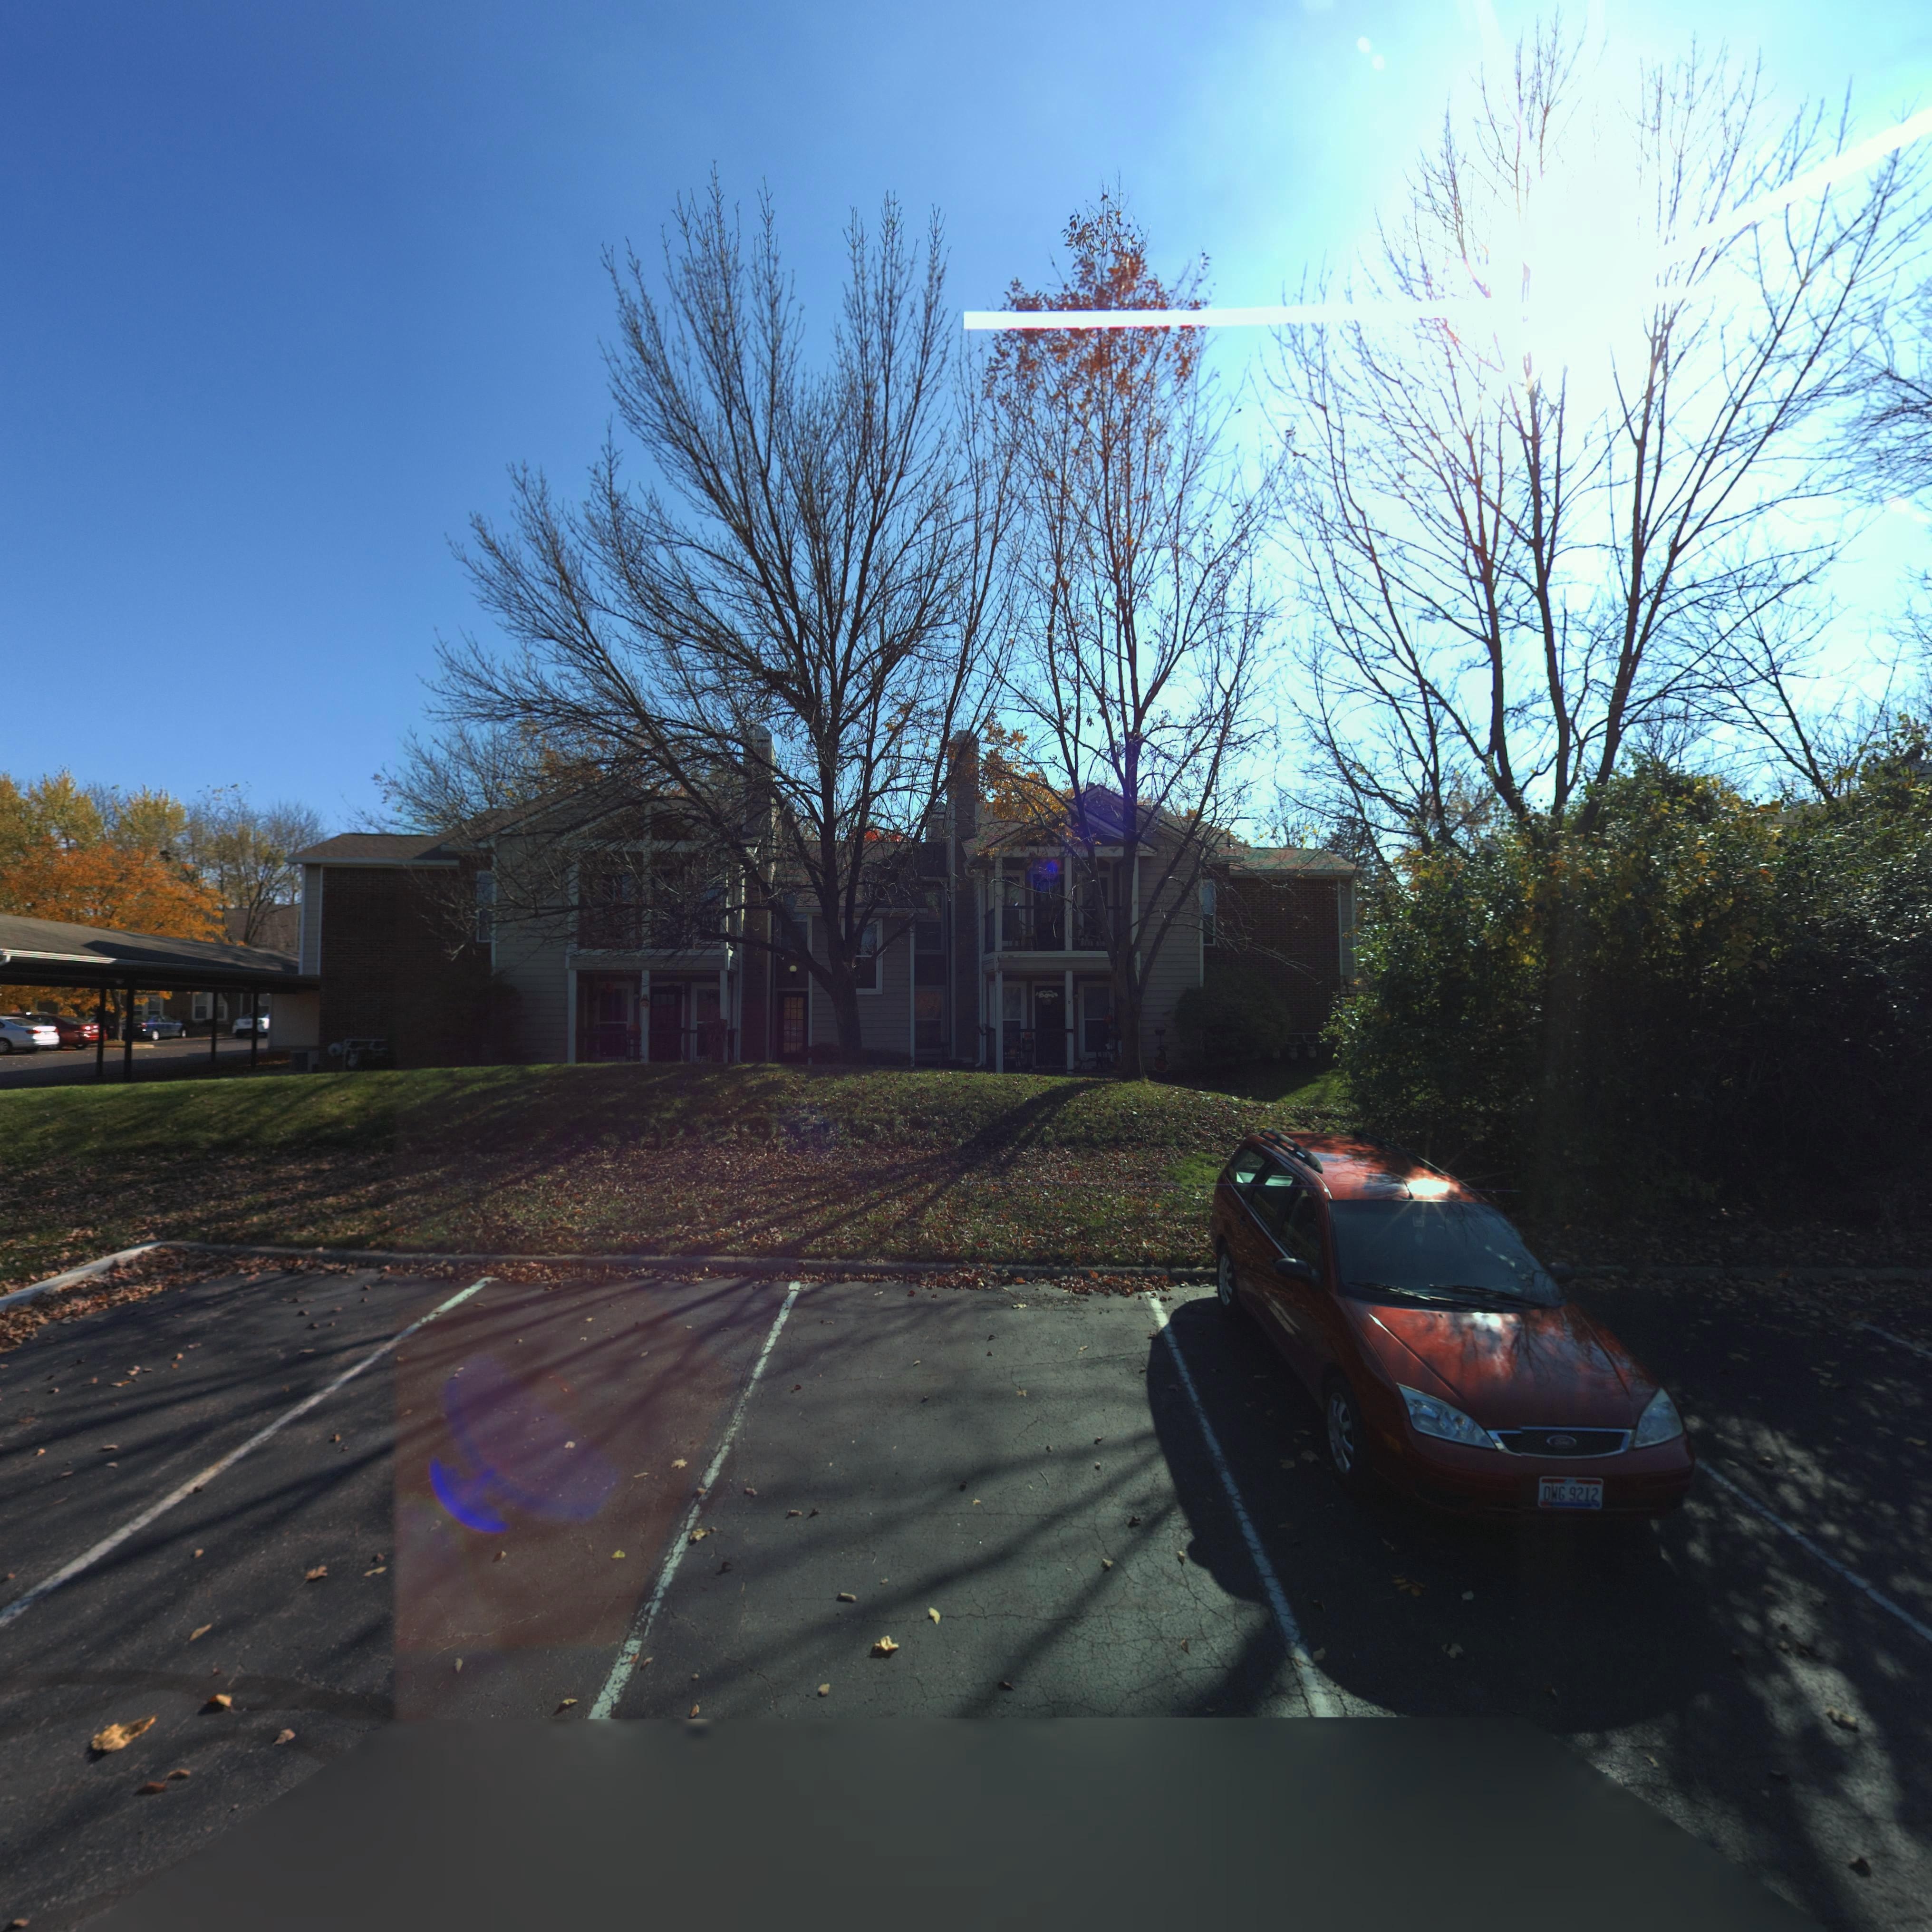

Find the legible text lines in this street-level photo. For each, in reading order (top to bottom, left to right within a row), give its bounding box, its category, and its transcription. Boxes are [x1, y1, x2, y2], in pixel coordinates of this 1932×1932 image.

[1543, 1485, 1600, 1504] None: DWG 9212